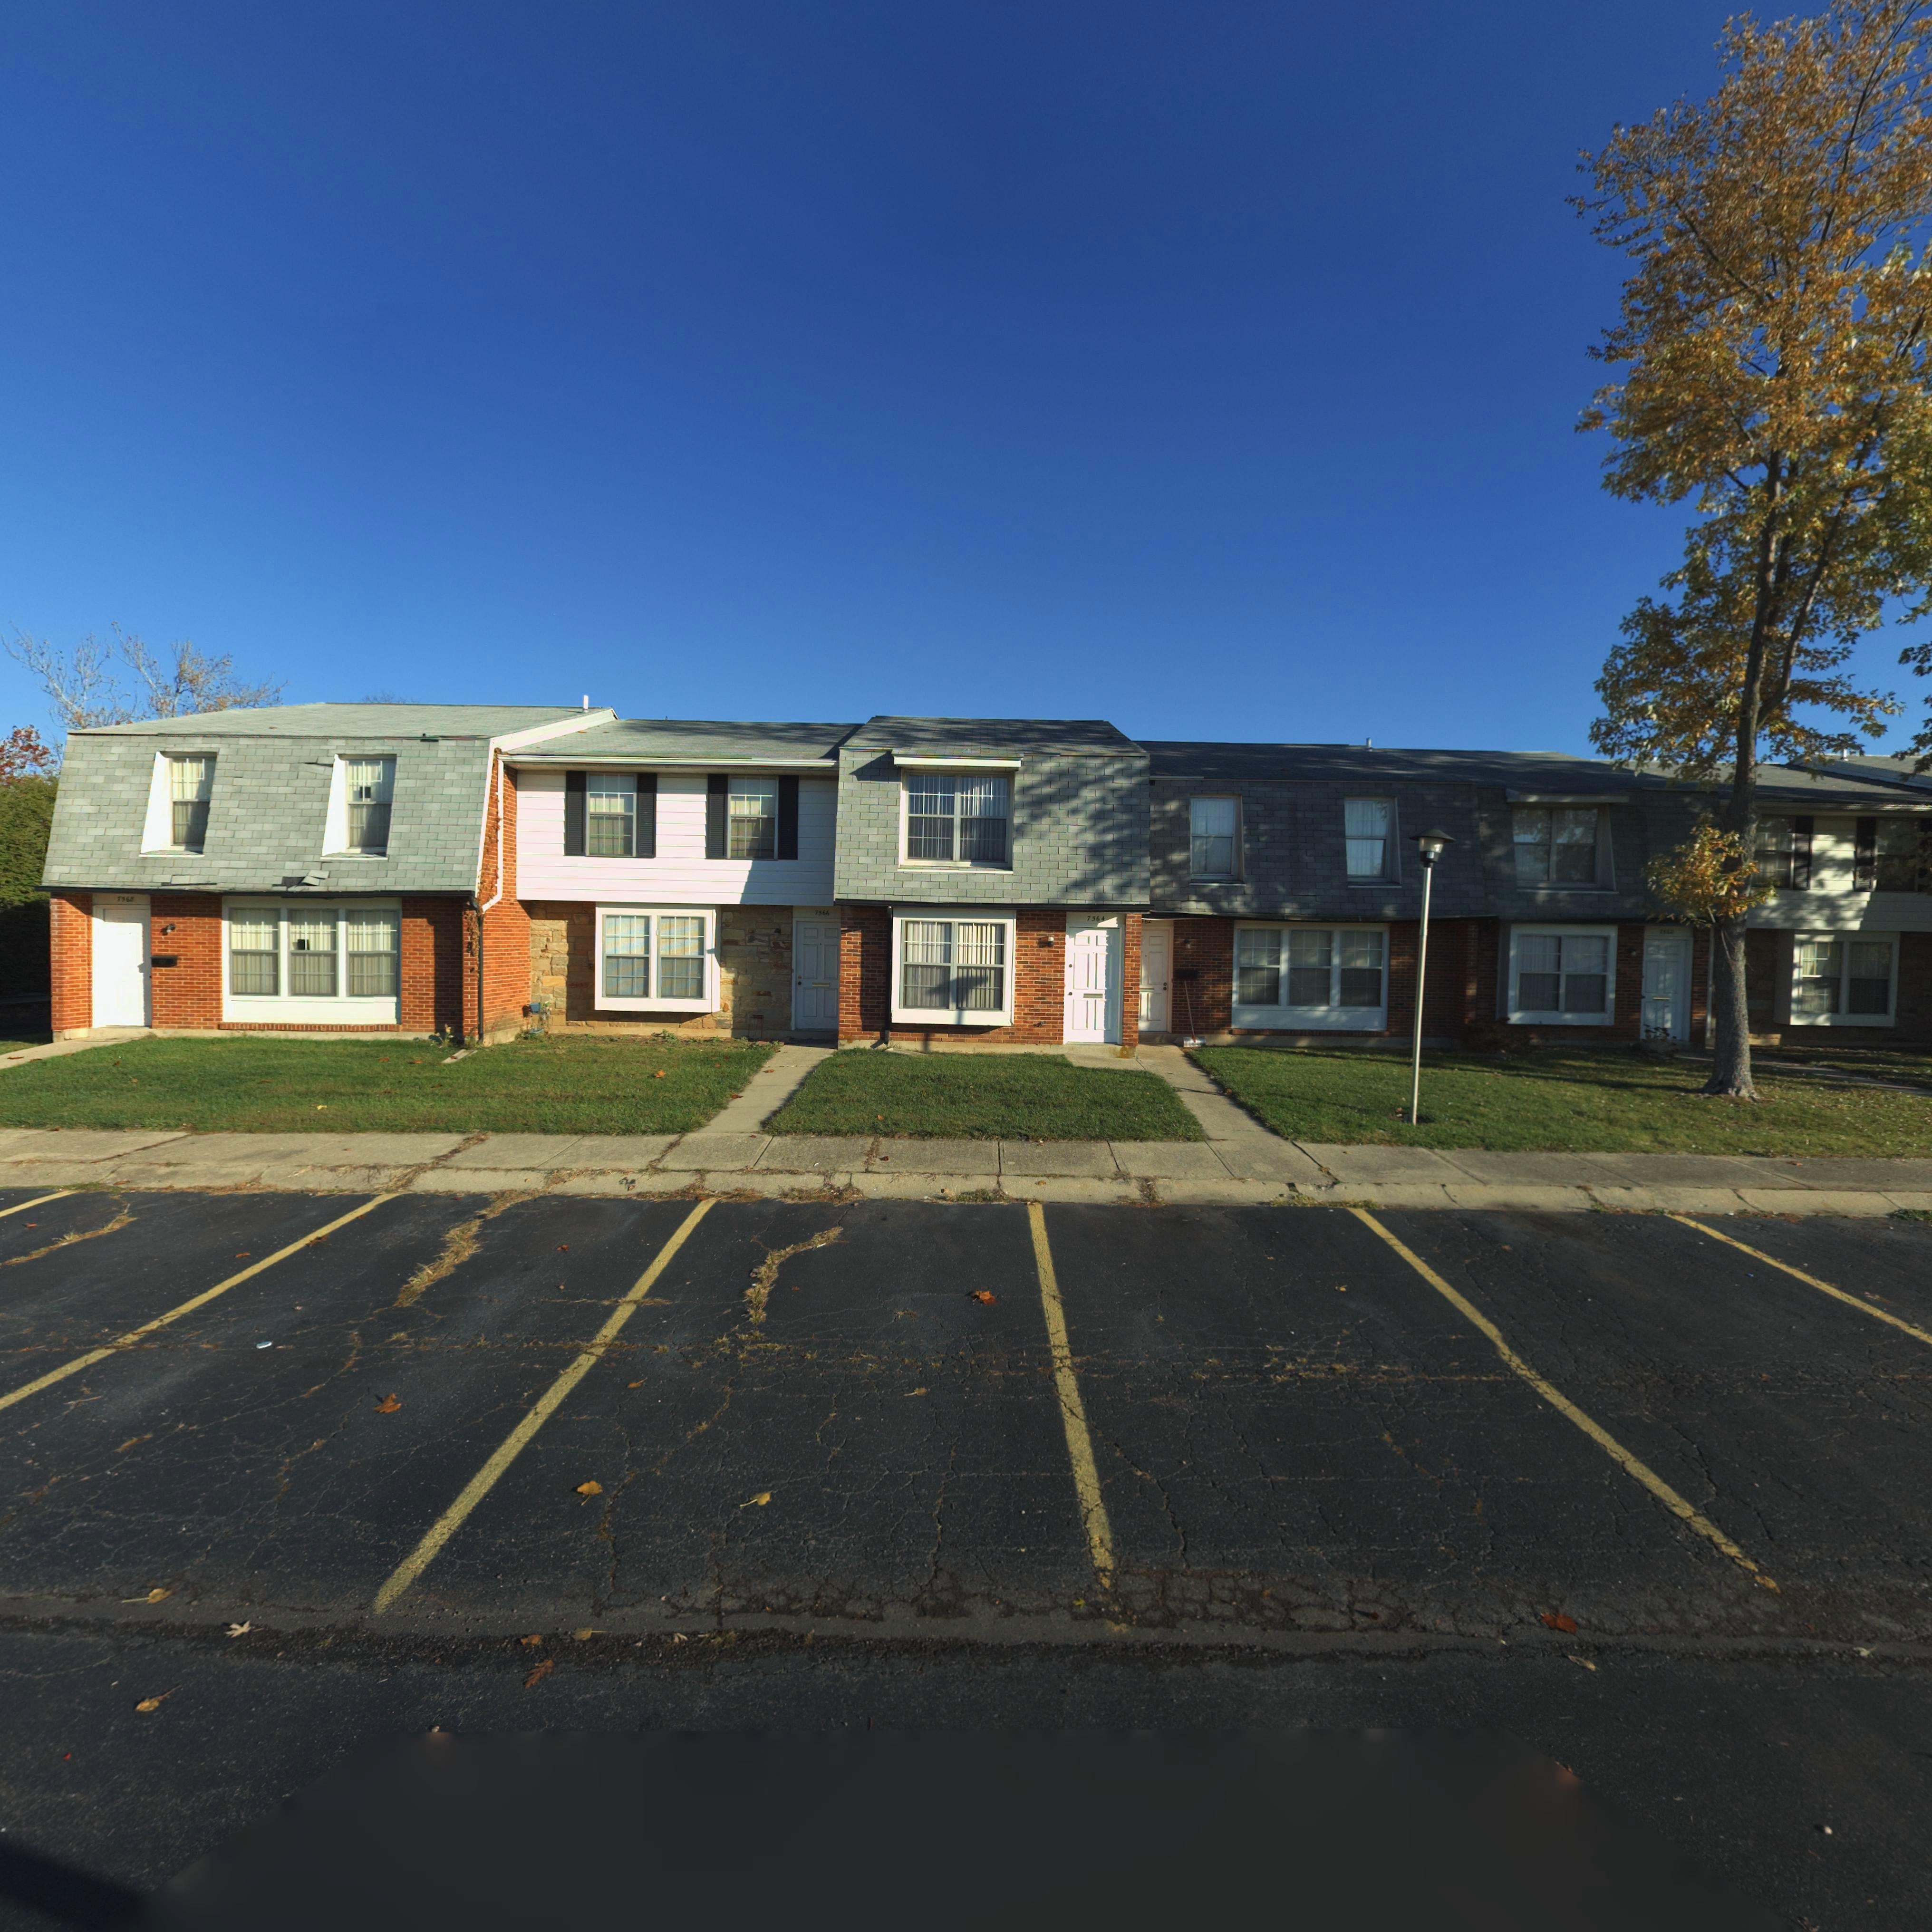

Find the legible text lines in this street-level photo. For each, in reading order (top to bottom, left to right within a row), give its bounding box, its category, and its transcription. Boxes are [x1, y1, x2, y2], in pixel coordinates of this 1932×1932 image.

[116, 895, 136, 904] StreetNumber: **6*
[813, 908, 831, 918] StreetNumber: 7566
[1085, 915, 1107, 923] StreetNumber: 7564